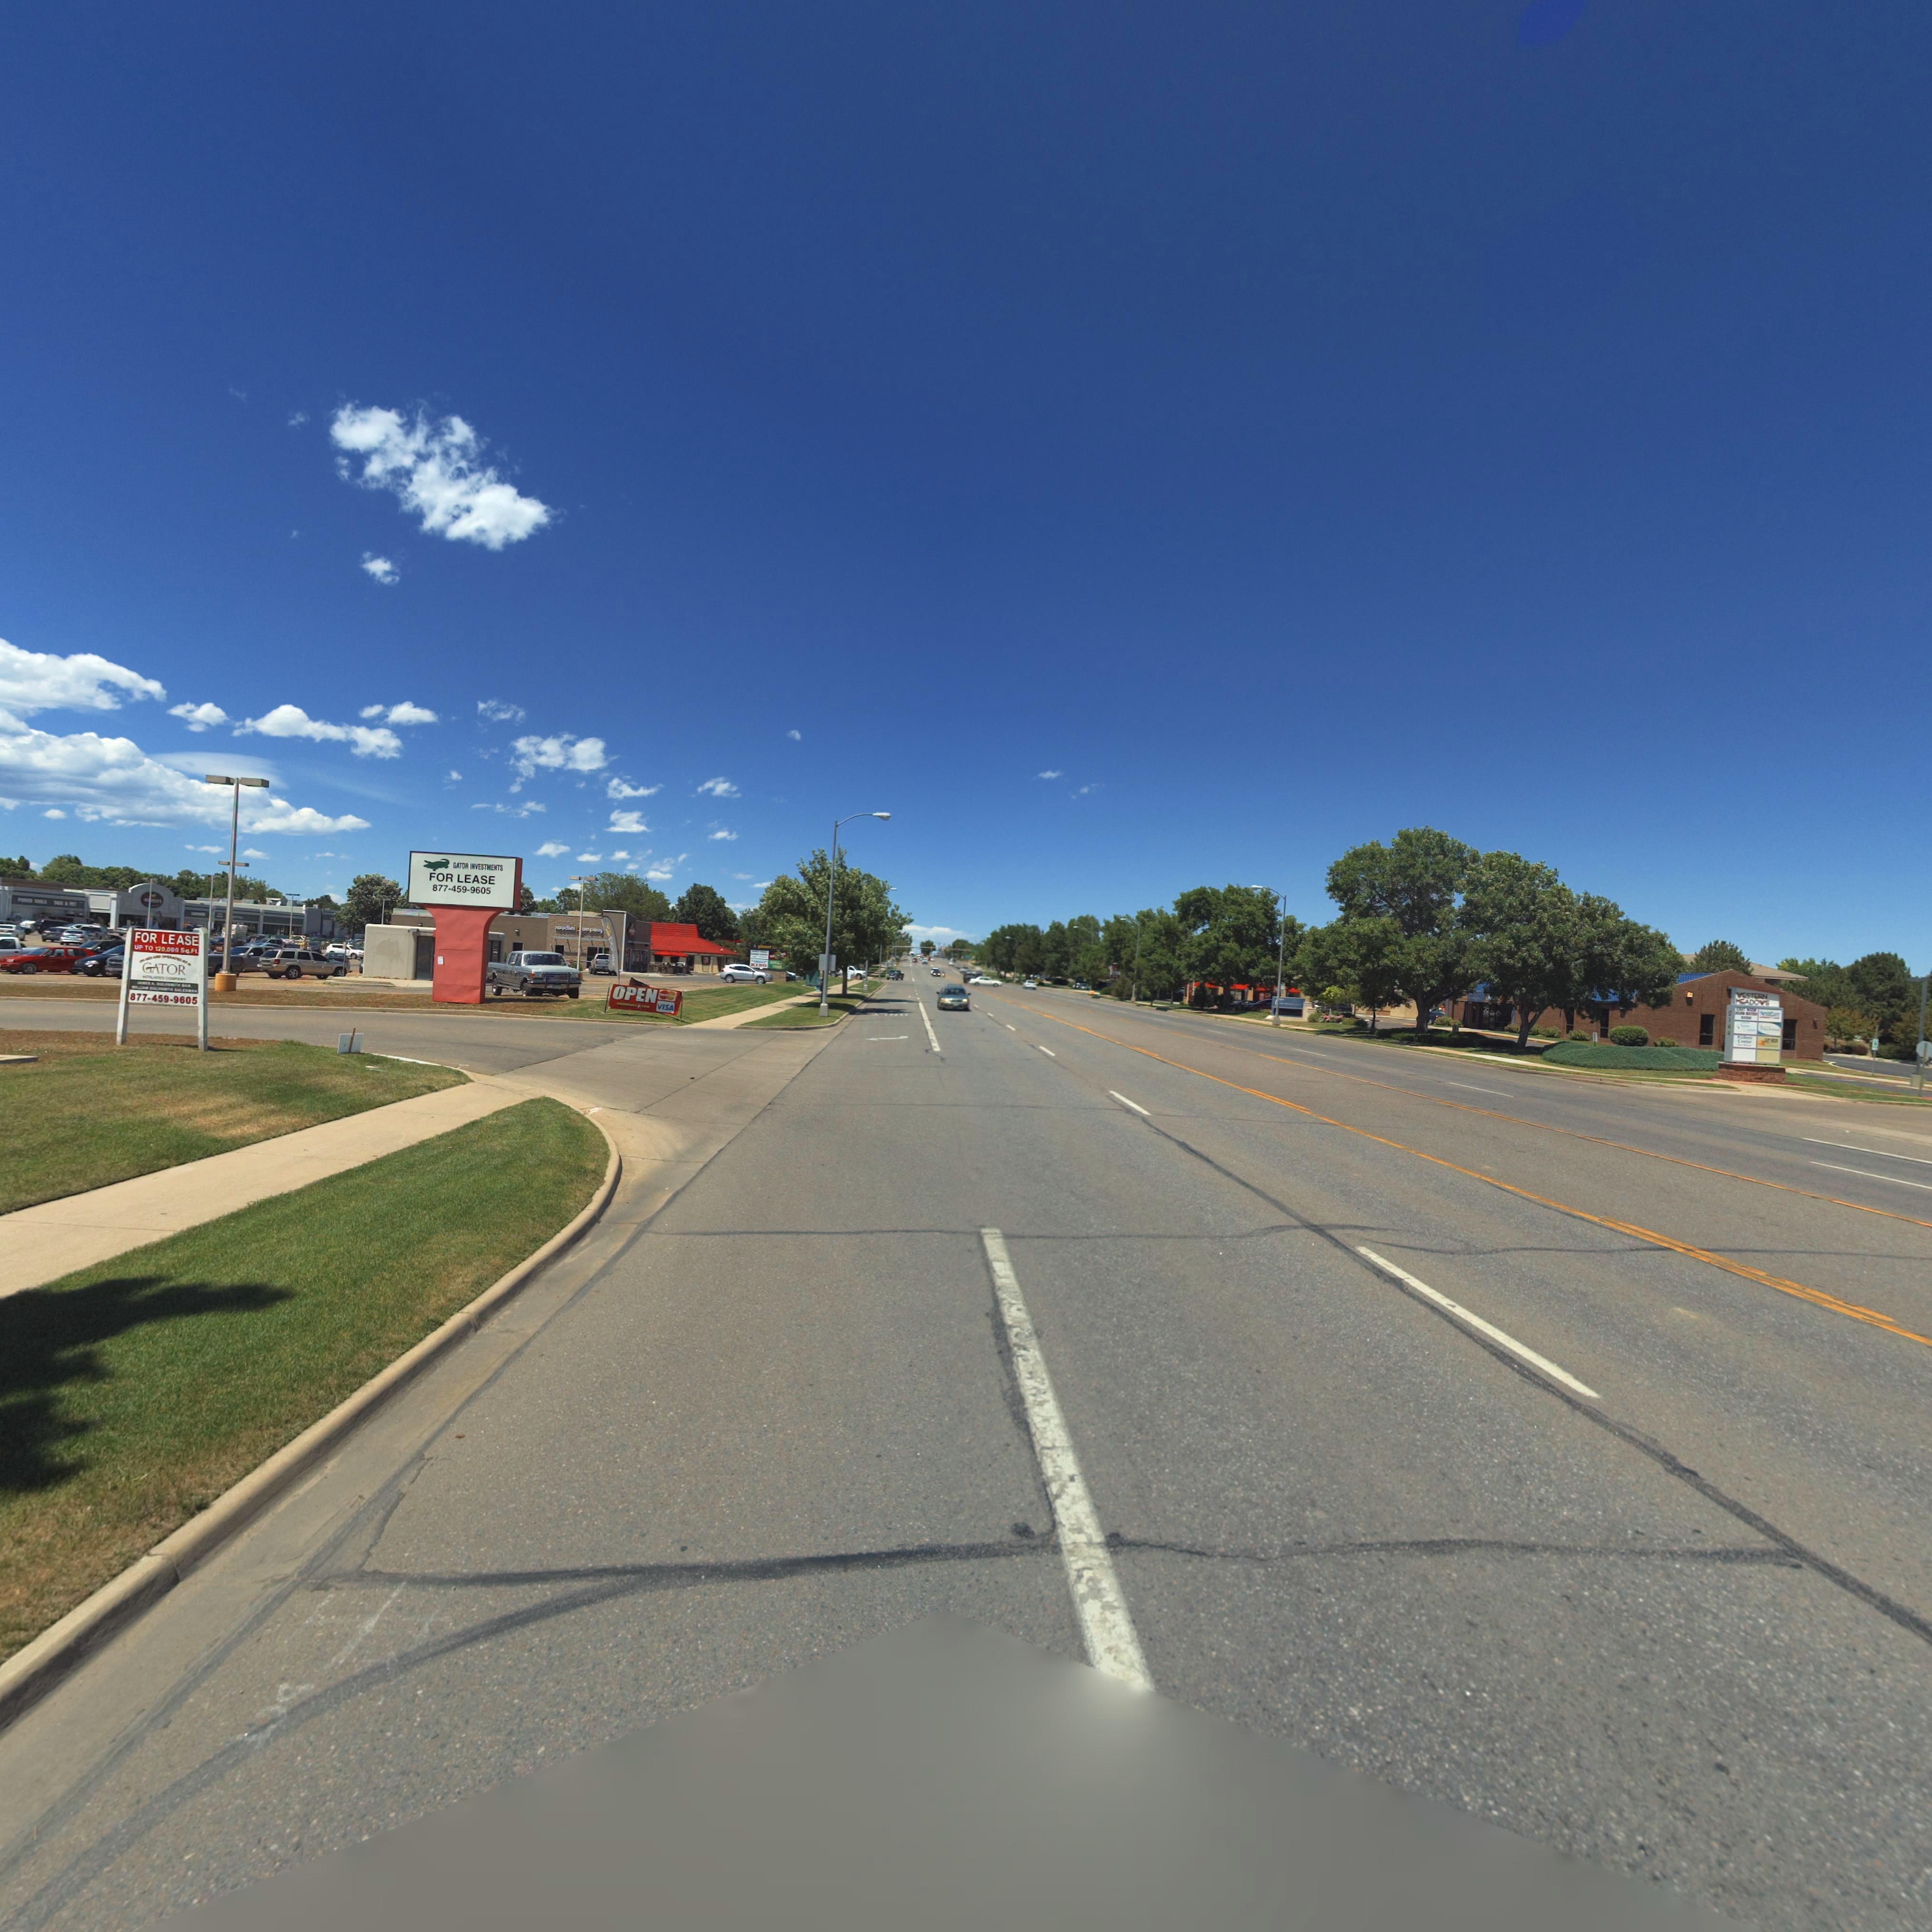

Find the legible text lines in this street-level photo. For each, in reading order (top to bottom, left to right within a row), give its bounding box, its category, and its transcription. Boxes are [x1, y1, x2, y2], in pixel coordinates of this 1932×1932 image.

[554, 925, 602, 934] BusinessName: noodle&*ompany
[757, 944, 778, 949] BusinessName: planet ***
[607, 936, 615, 967] None: x*
[769, 952, 785, 958] BusinessName: no***es
[750, 963, 767, 967] BusinessName: KING
[772, 965, 782, 969] BusinessName: TREE
[1726, 1010, 1732, 1036] StreetNumber: 2144
[1737, 1038, 1752, 1044] BusinessName: C****r